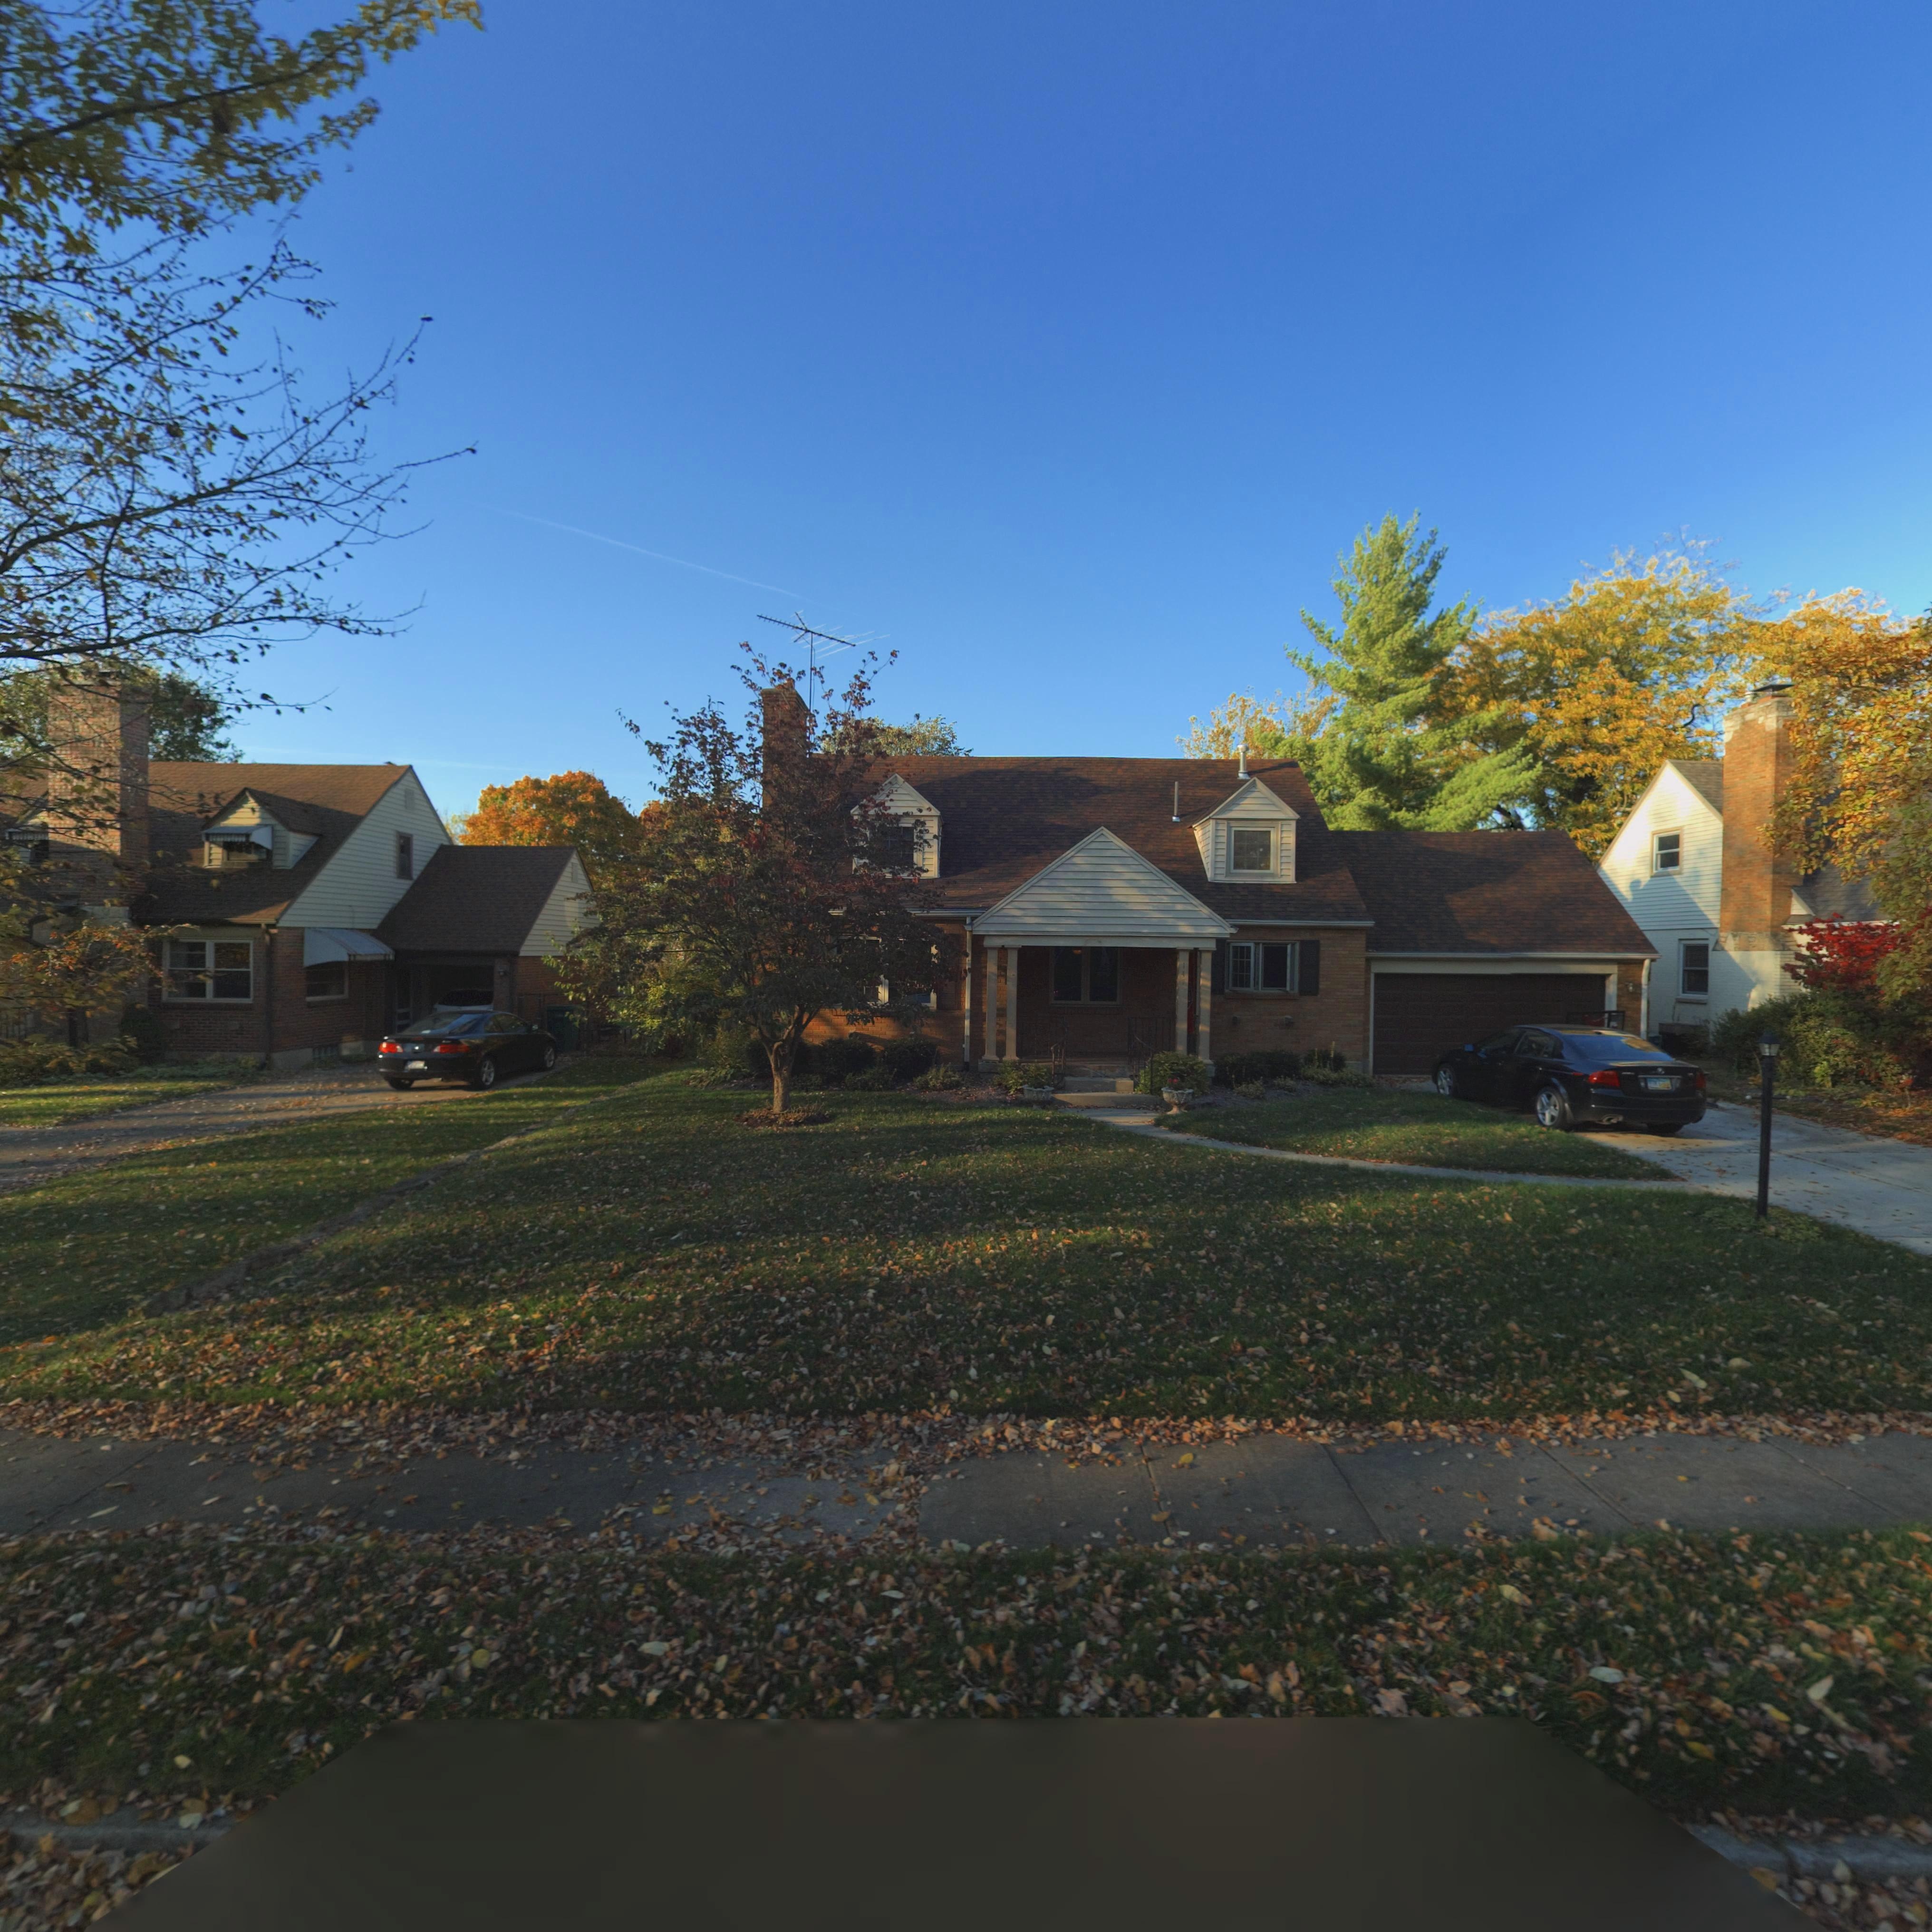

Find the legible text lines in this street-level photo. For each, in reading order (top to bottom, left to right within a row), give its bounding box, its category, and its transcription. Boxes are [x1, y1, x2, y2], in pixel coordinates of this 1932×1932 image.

[1181, 961, 1186, 986] StreetNumber: 147